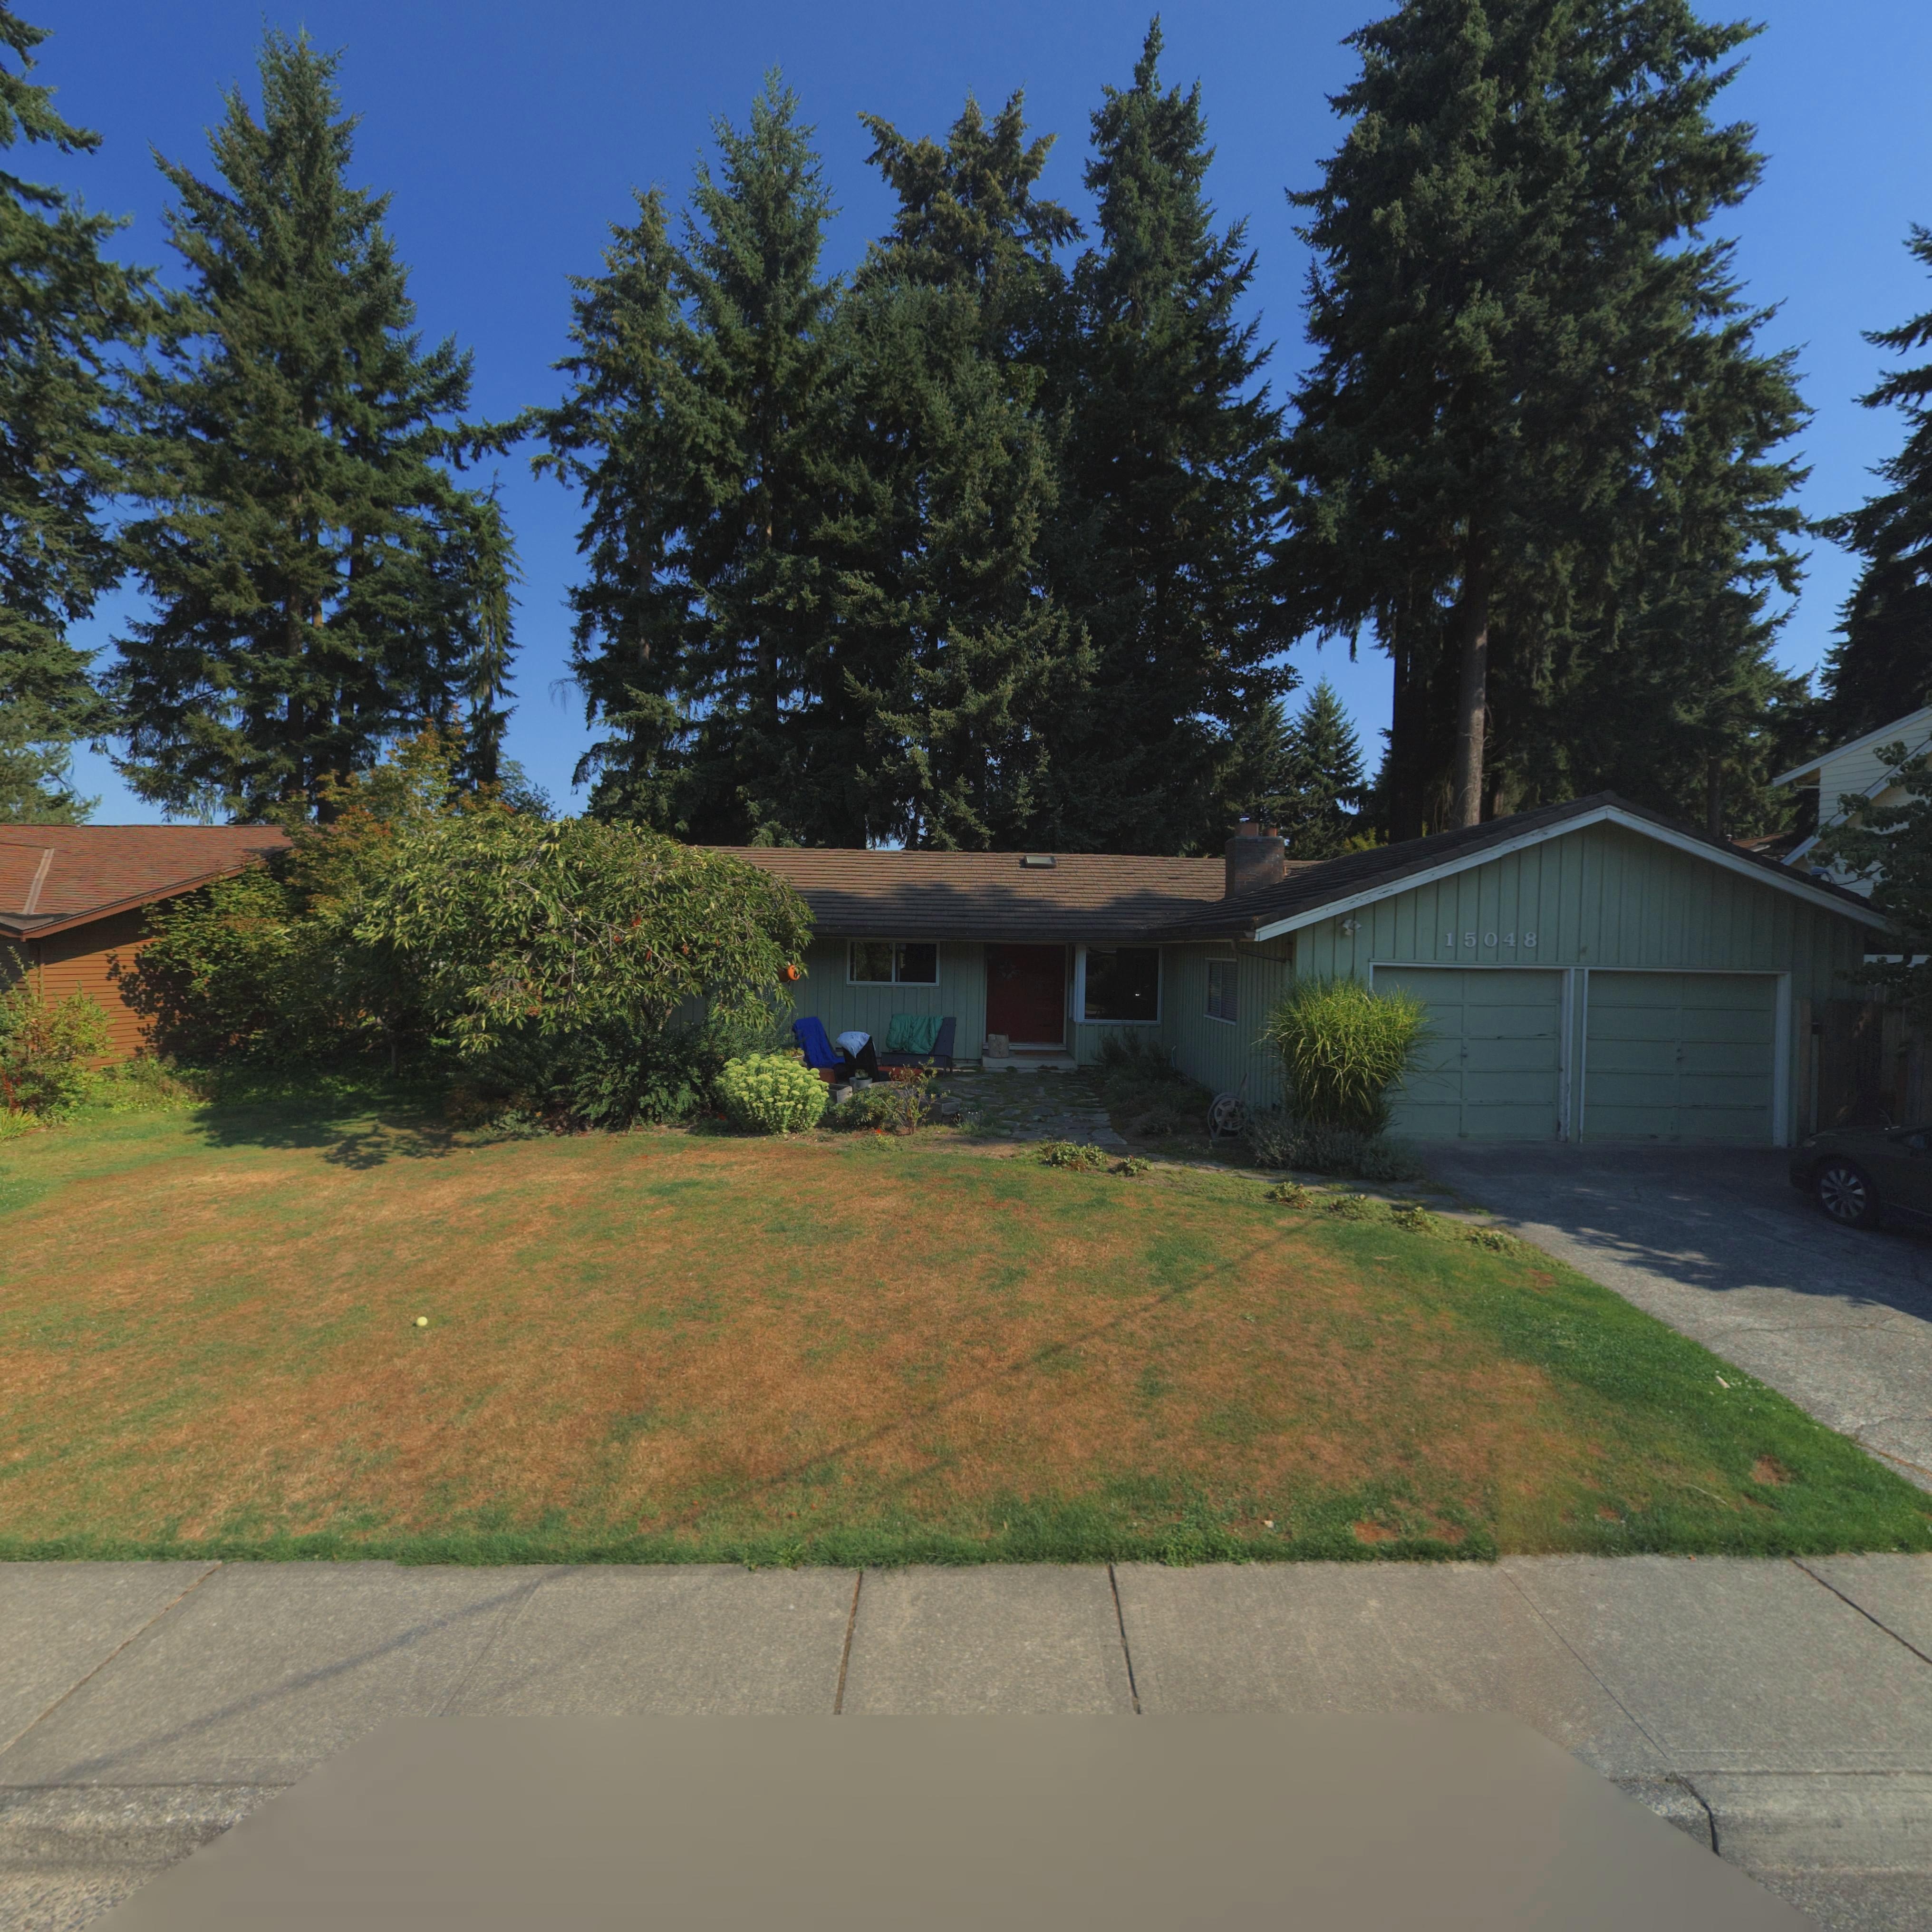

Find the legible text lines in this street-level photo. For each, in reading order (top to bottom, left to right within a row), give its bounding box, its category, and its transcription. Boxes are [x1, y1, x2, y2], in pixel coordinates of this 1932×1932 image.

[1447, 932, 1536, 946] StreetNumber: 15048